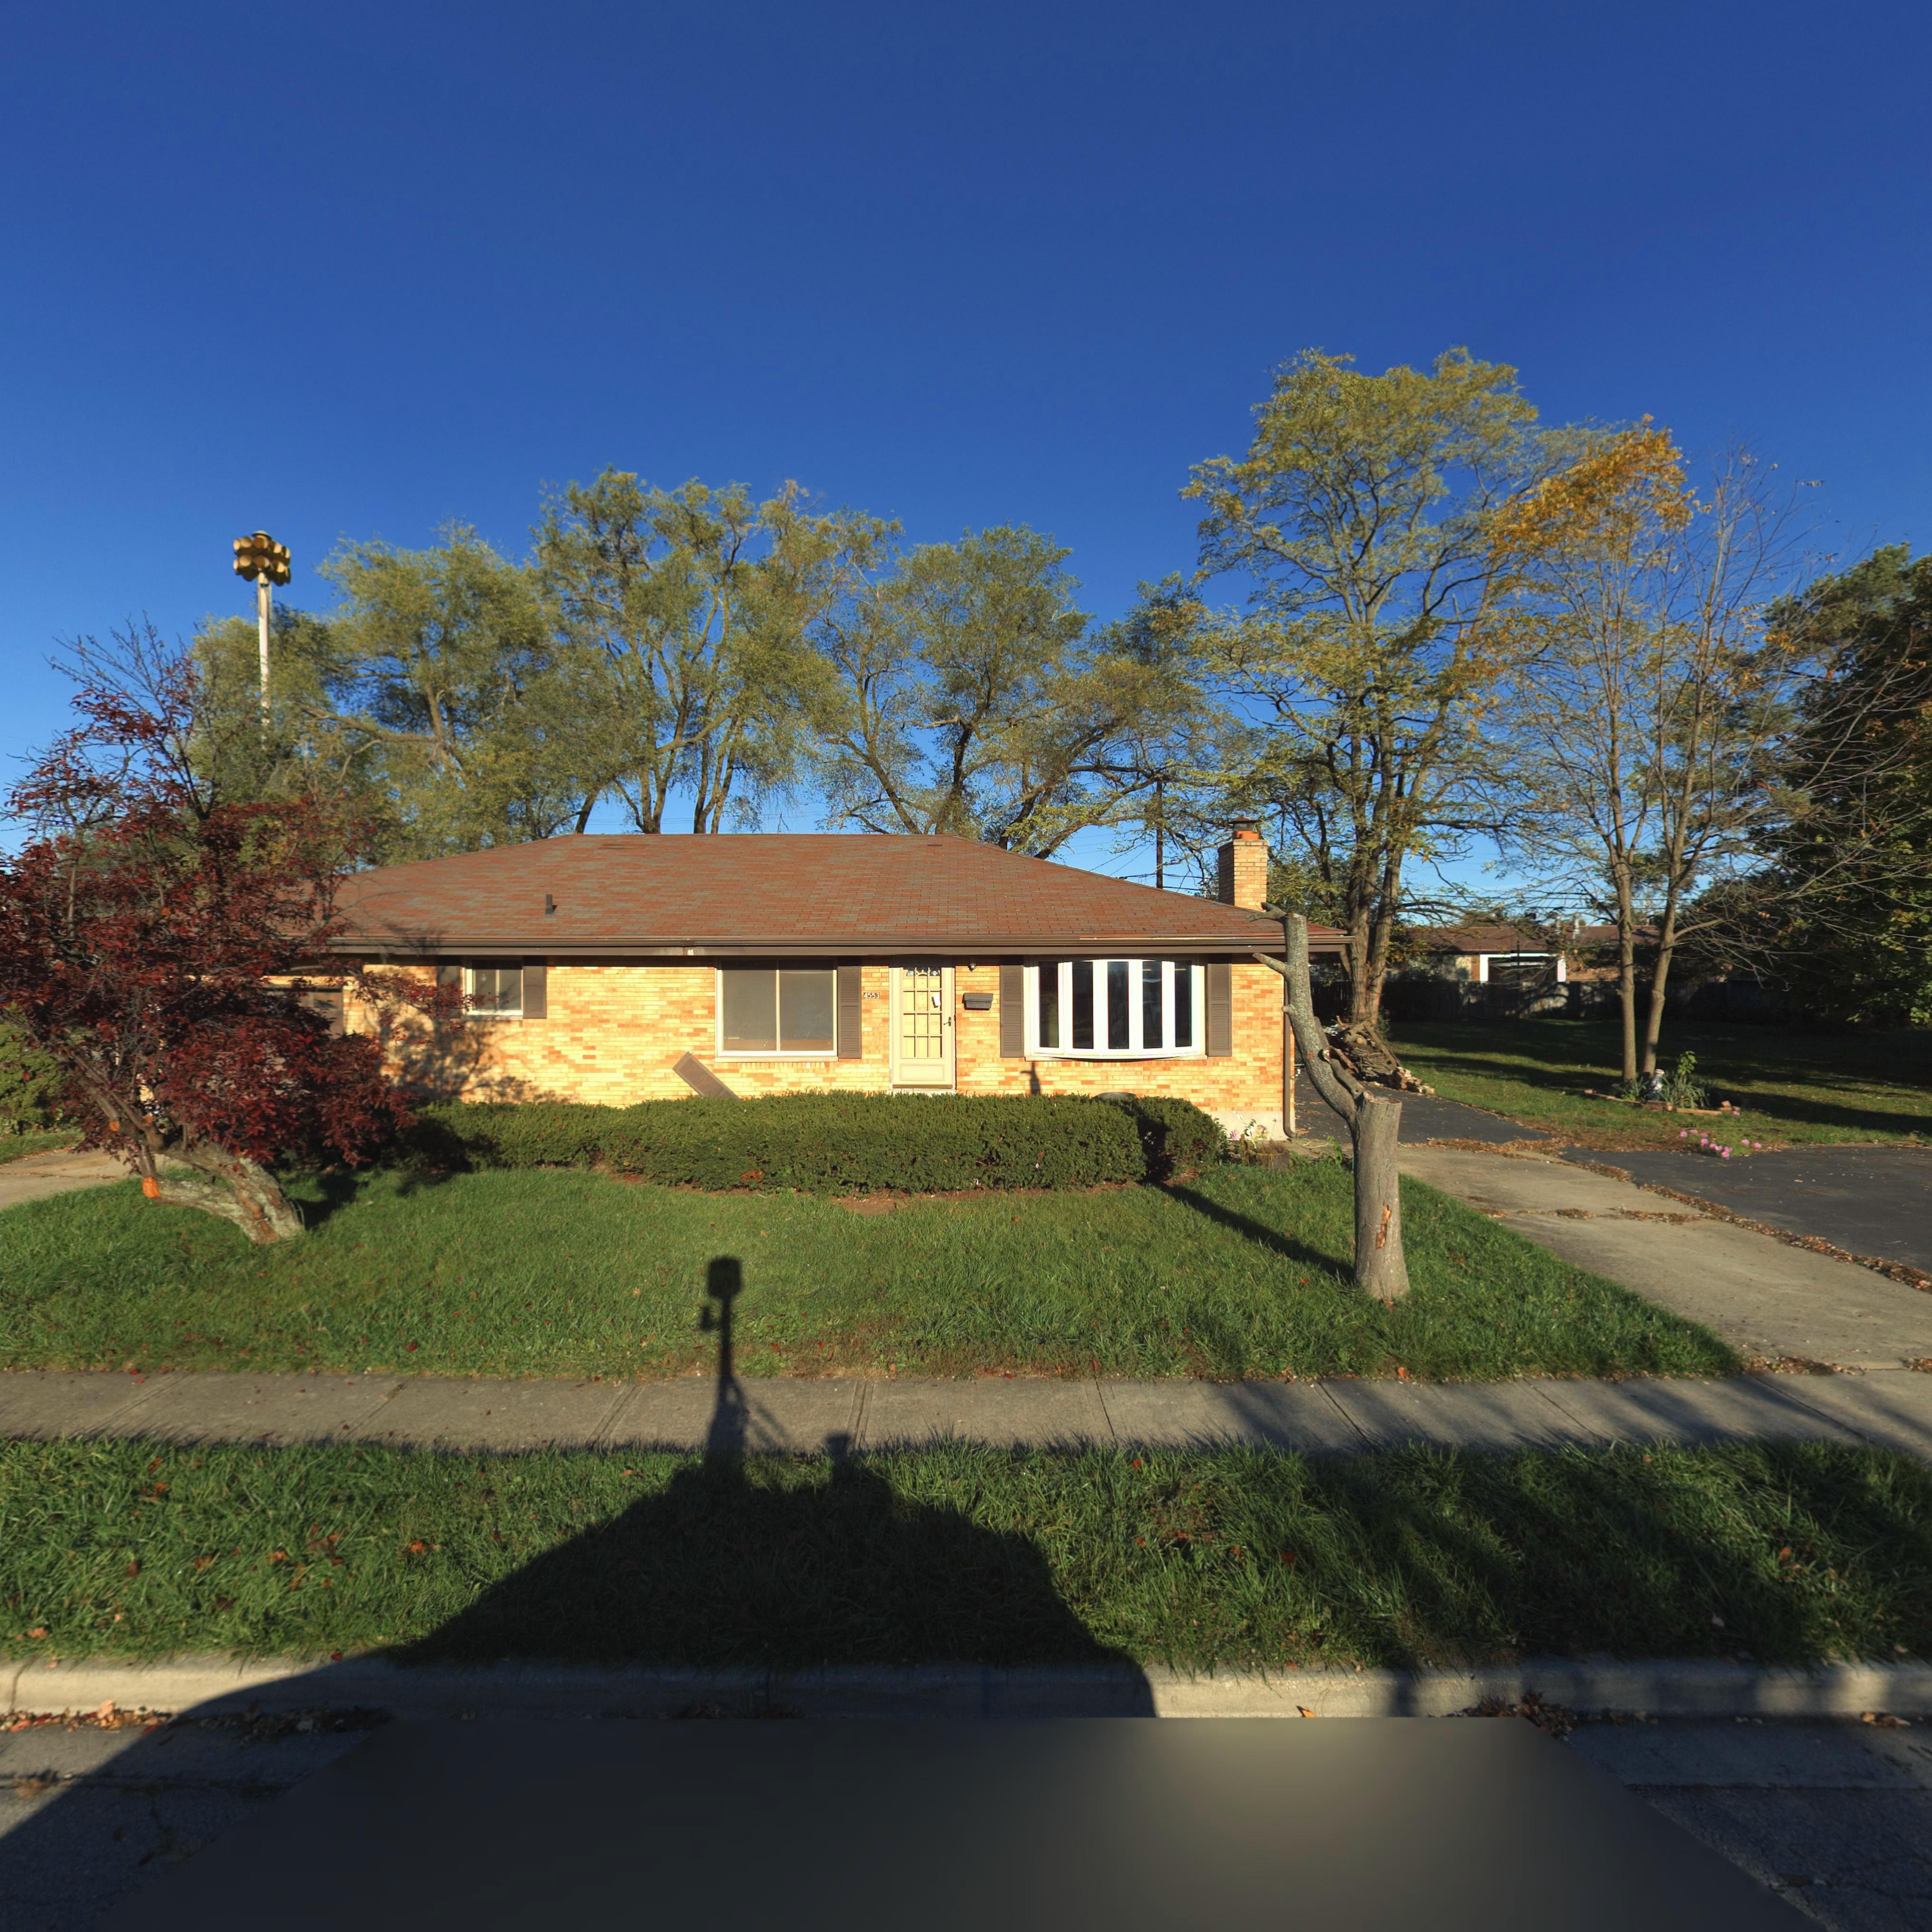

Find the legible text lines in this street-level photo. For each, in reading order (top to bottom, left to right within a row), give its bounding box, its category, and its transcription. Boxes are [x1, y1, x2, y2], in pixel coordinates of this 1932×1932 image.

[862, 991, 879, 999] StreetNumber: 4553